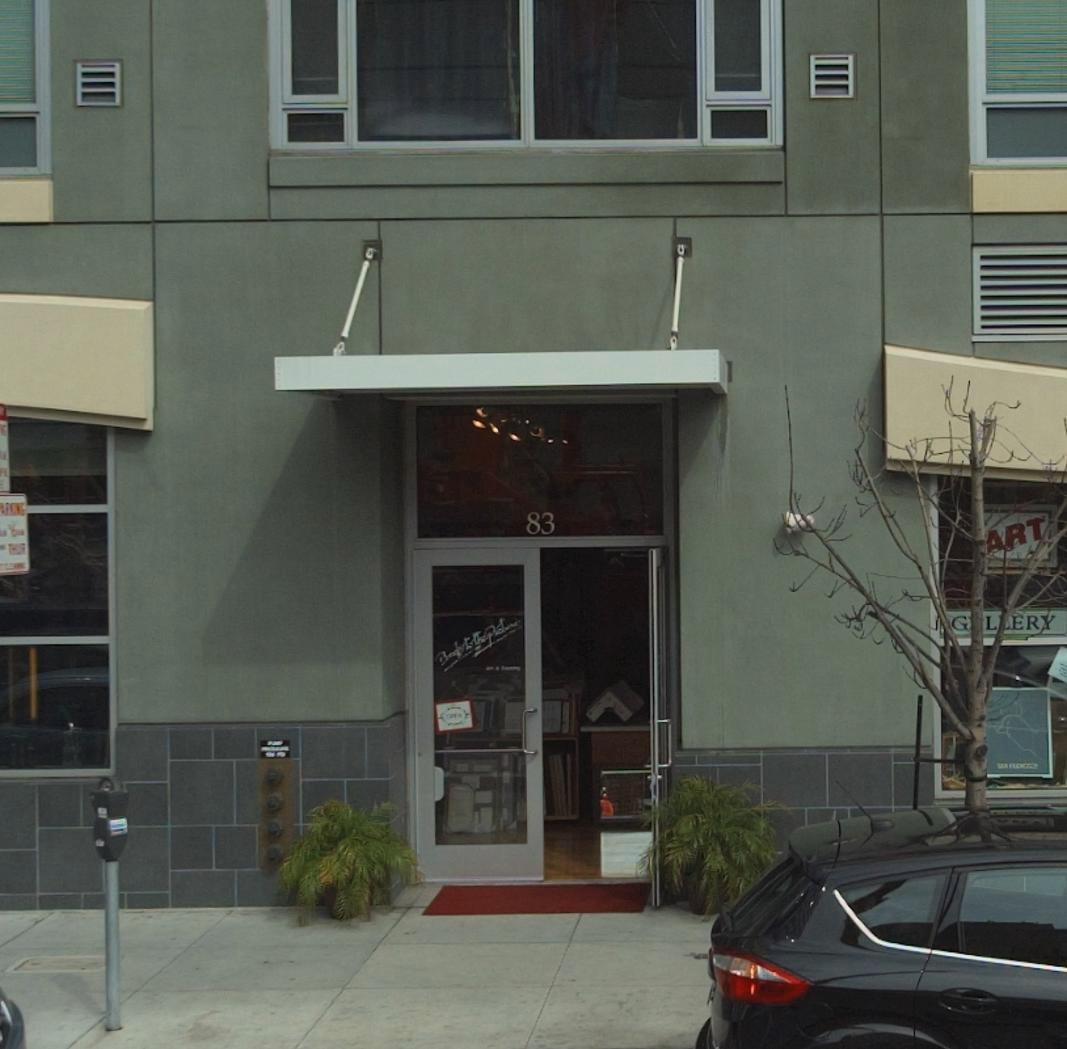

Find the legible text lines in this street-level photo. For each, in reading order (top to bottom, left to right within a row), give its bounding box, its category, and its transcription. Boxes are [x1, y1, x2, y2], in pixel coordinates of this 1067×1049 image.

[0, 502, 27, 516] None: ARKING
[526, 510, 556, 536] StreetNumber: 83
[987, 516, 1046, 555] None: ART
[7, 543, 26, 556] None: THUR
[951, 614, 1058, 631] None: G*L*ERY